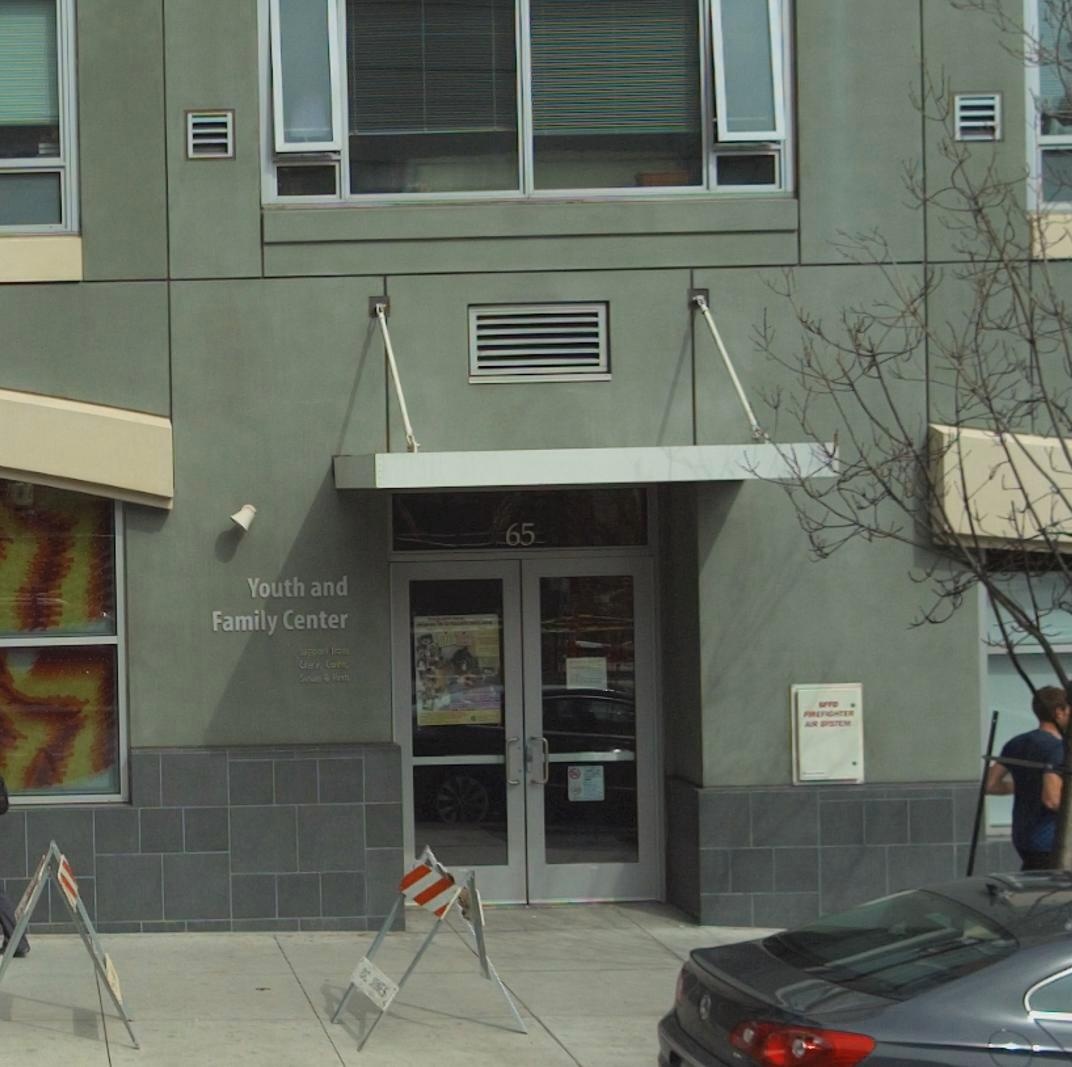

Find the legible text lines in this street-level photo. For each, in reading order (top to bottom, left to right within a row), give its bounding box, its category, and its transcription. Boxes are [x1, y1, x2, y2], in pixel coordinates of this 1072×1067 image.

[506, 522, 536, 547] StreetNumber: 65
[246, 574, 350, 599] BusinessName: Youth and
[212, 608, 349, 636] BusinessName: Family Center
[803, 709, 855, 718] None: FIREFIGHTER